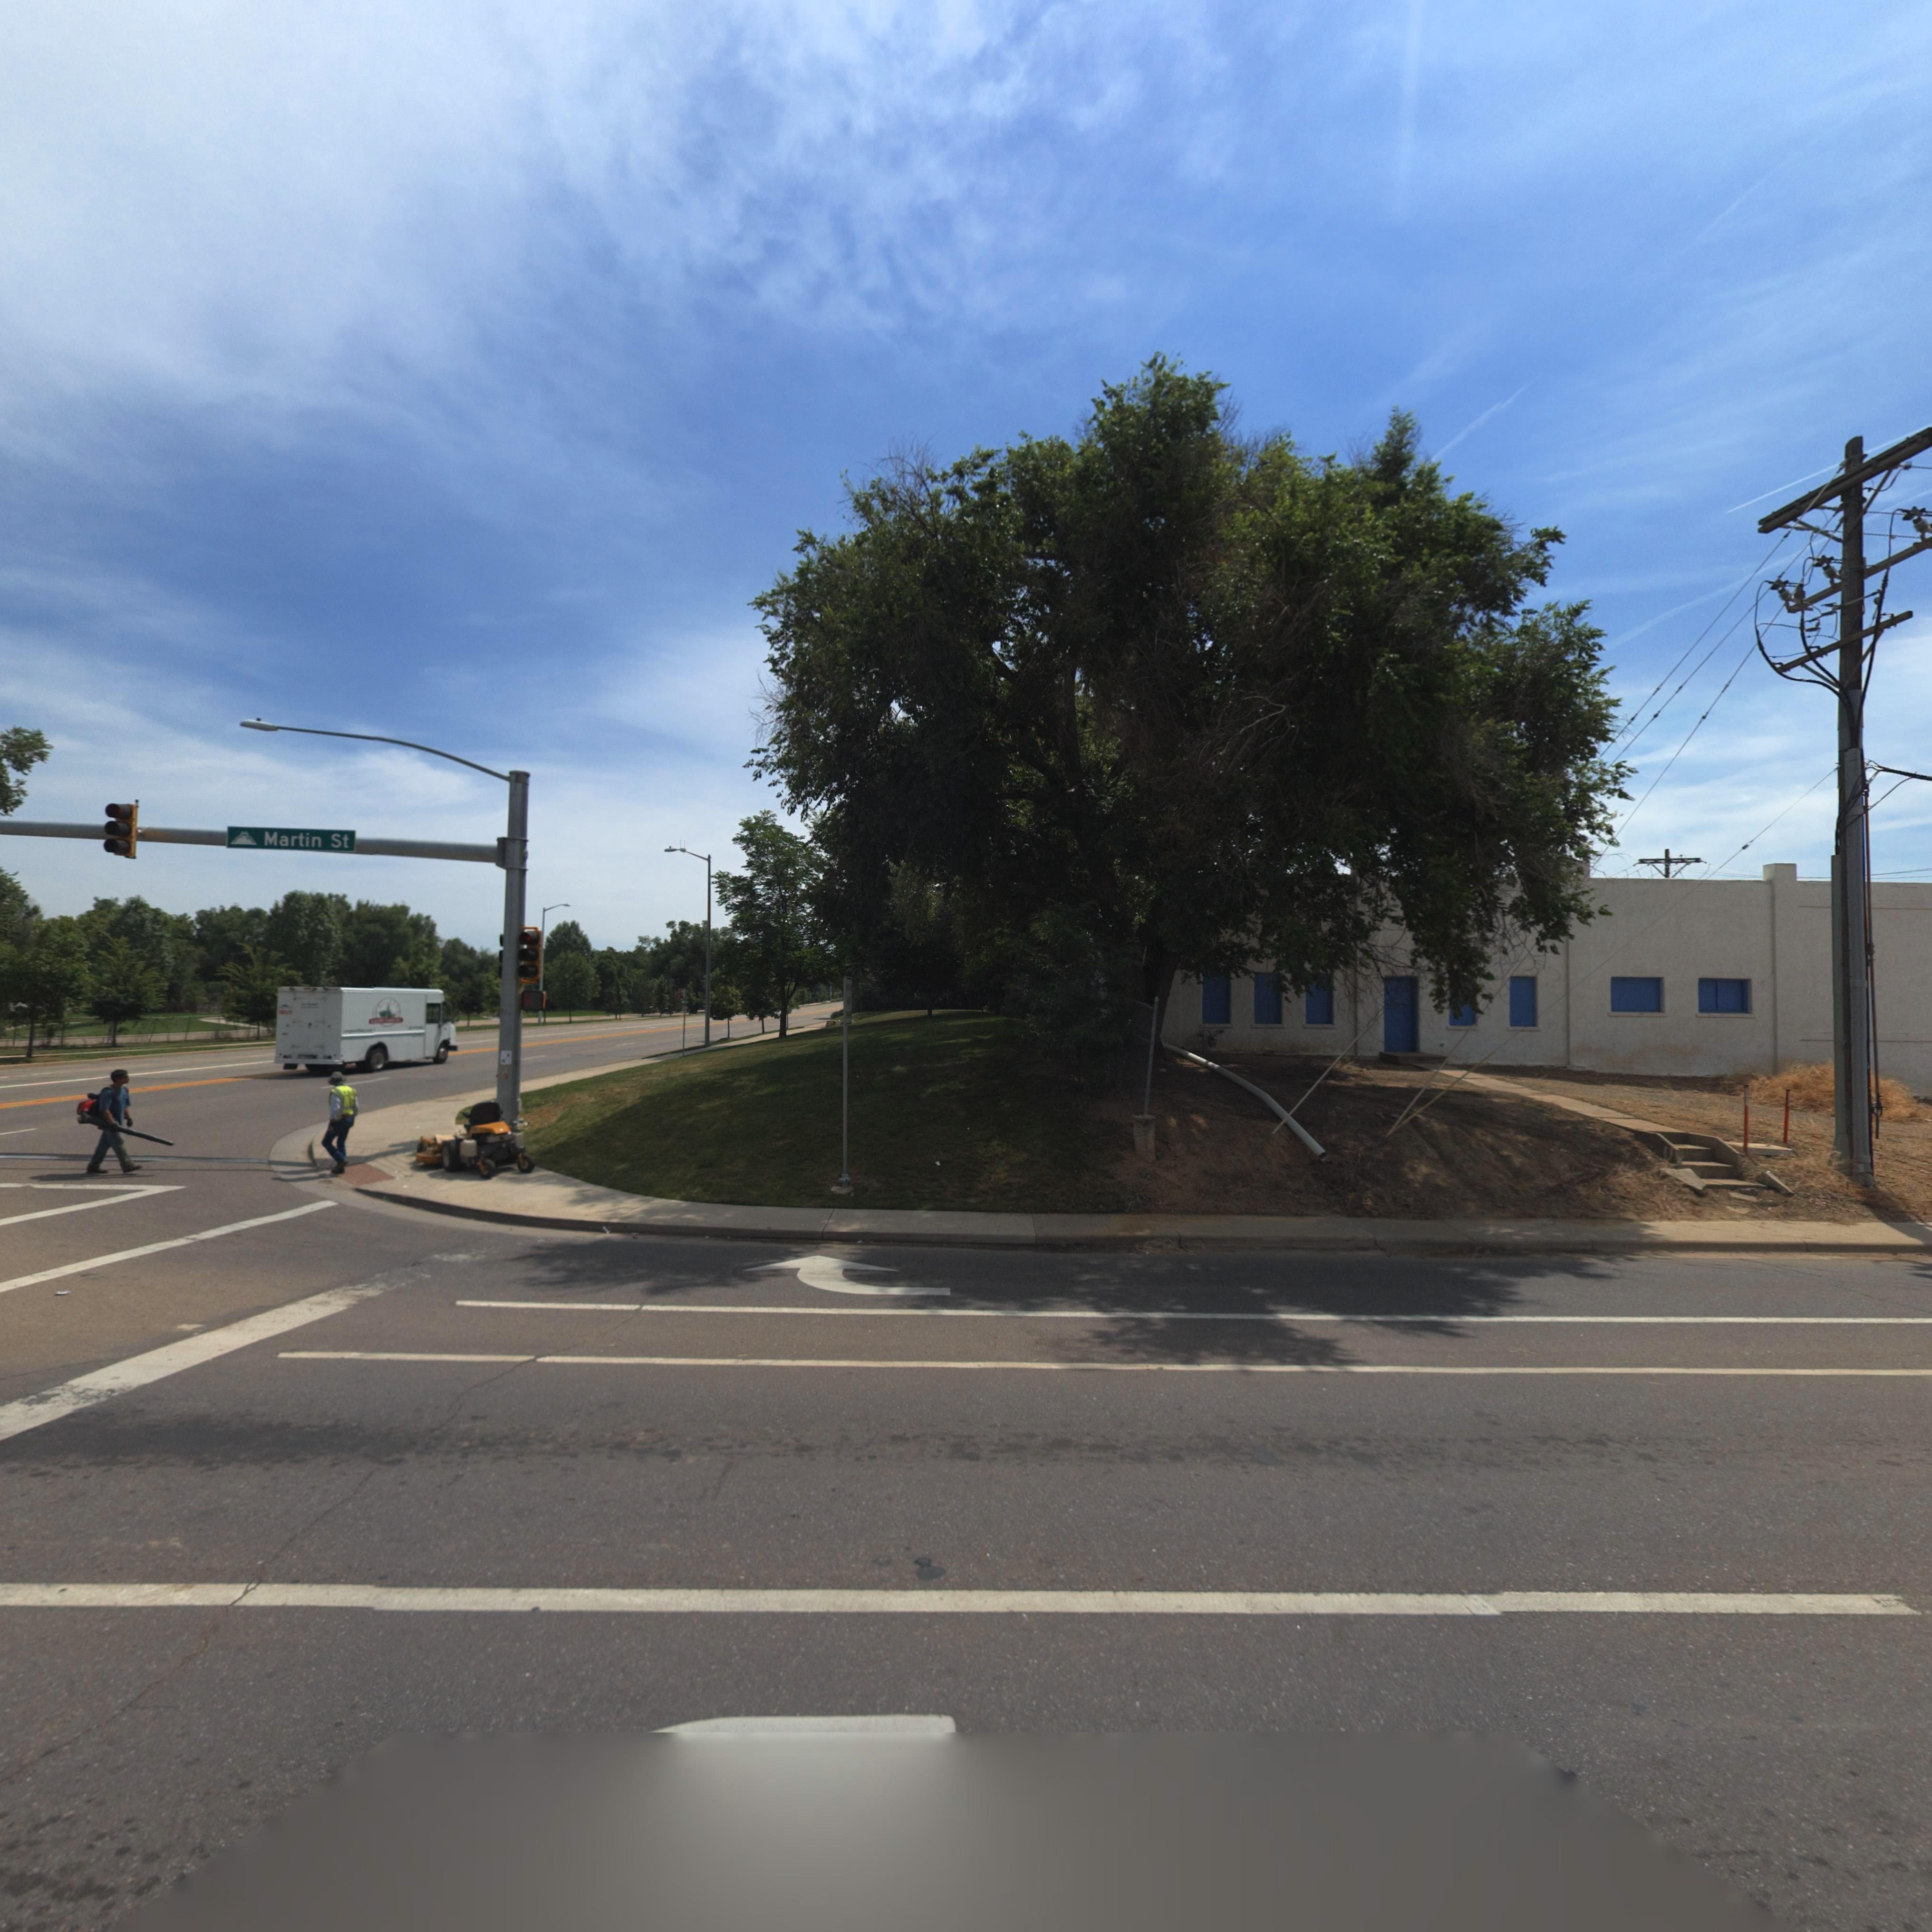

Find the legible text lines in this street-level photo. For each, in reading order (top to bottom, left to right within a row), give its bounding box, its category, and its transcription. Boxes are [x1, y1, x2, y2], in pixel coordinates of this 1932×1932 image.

[264, 831, 349, 849] StreetName: Martin St